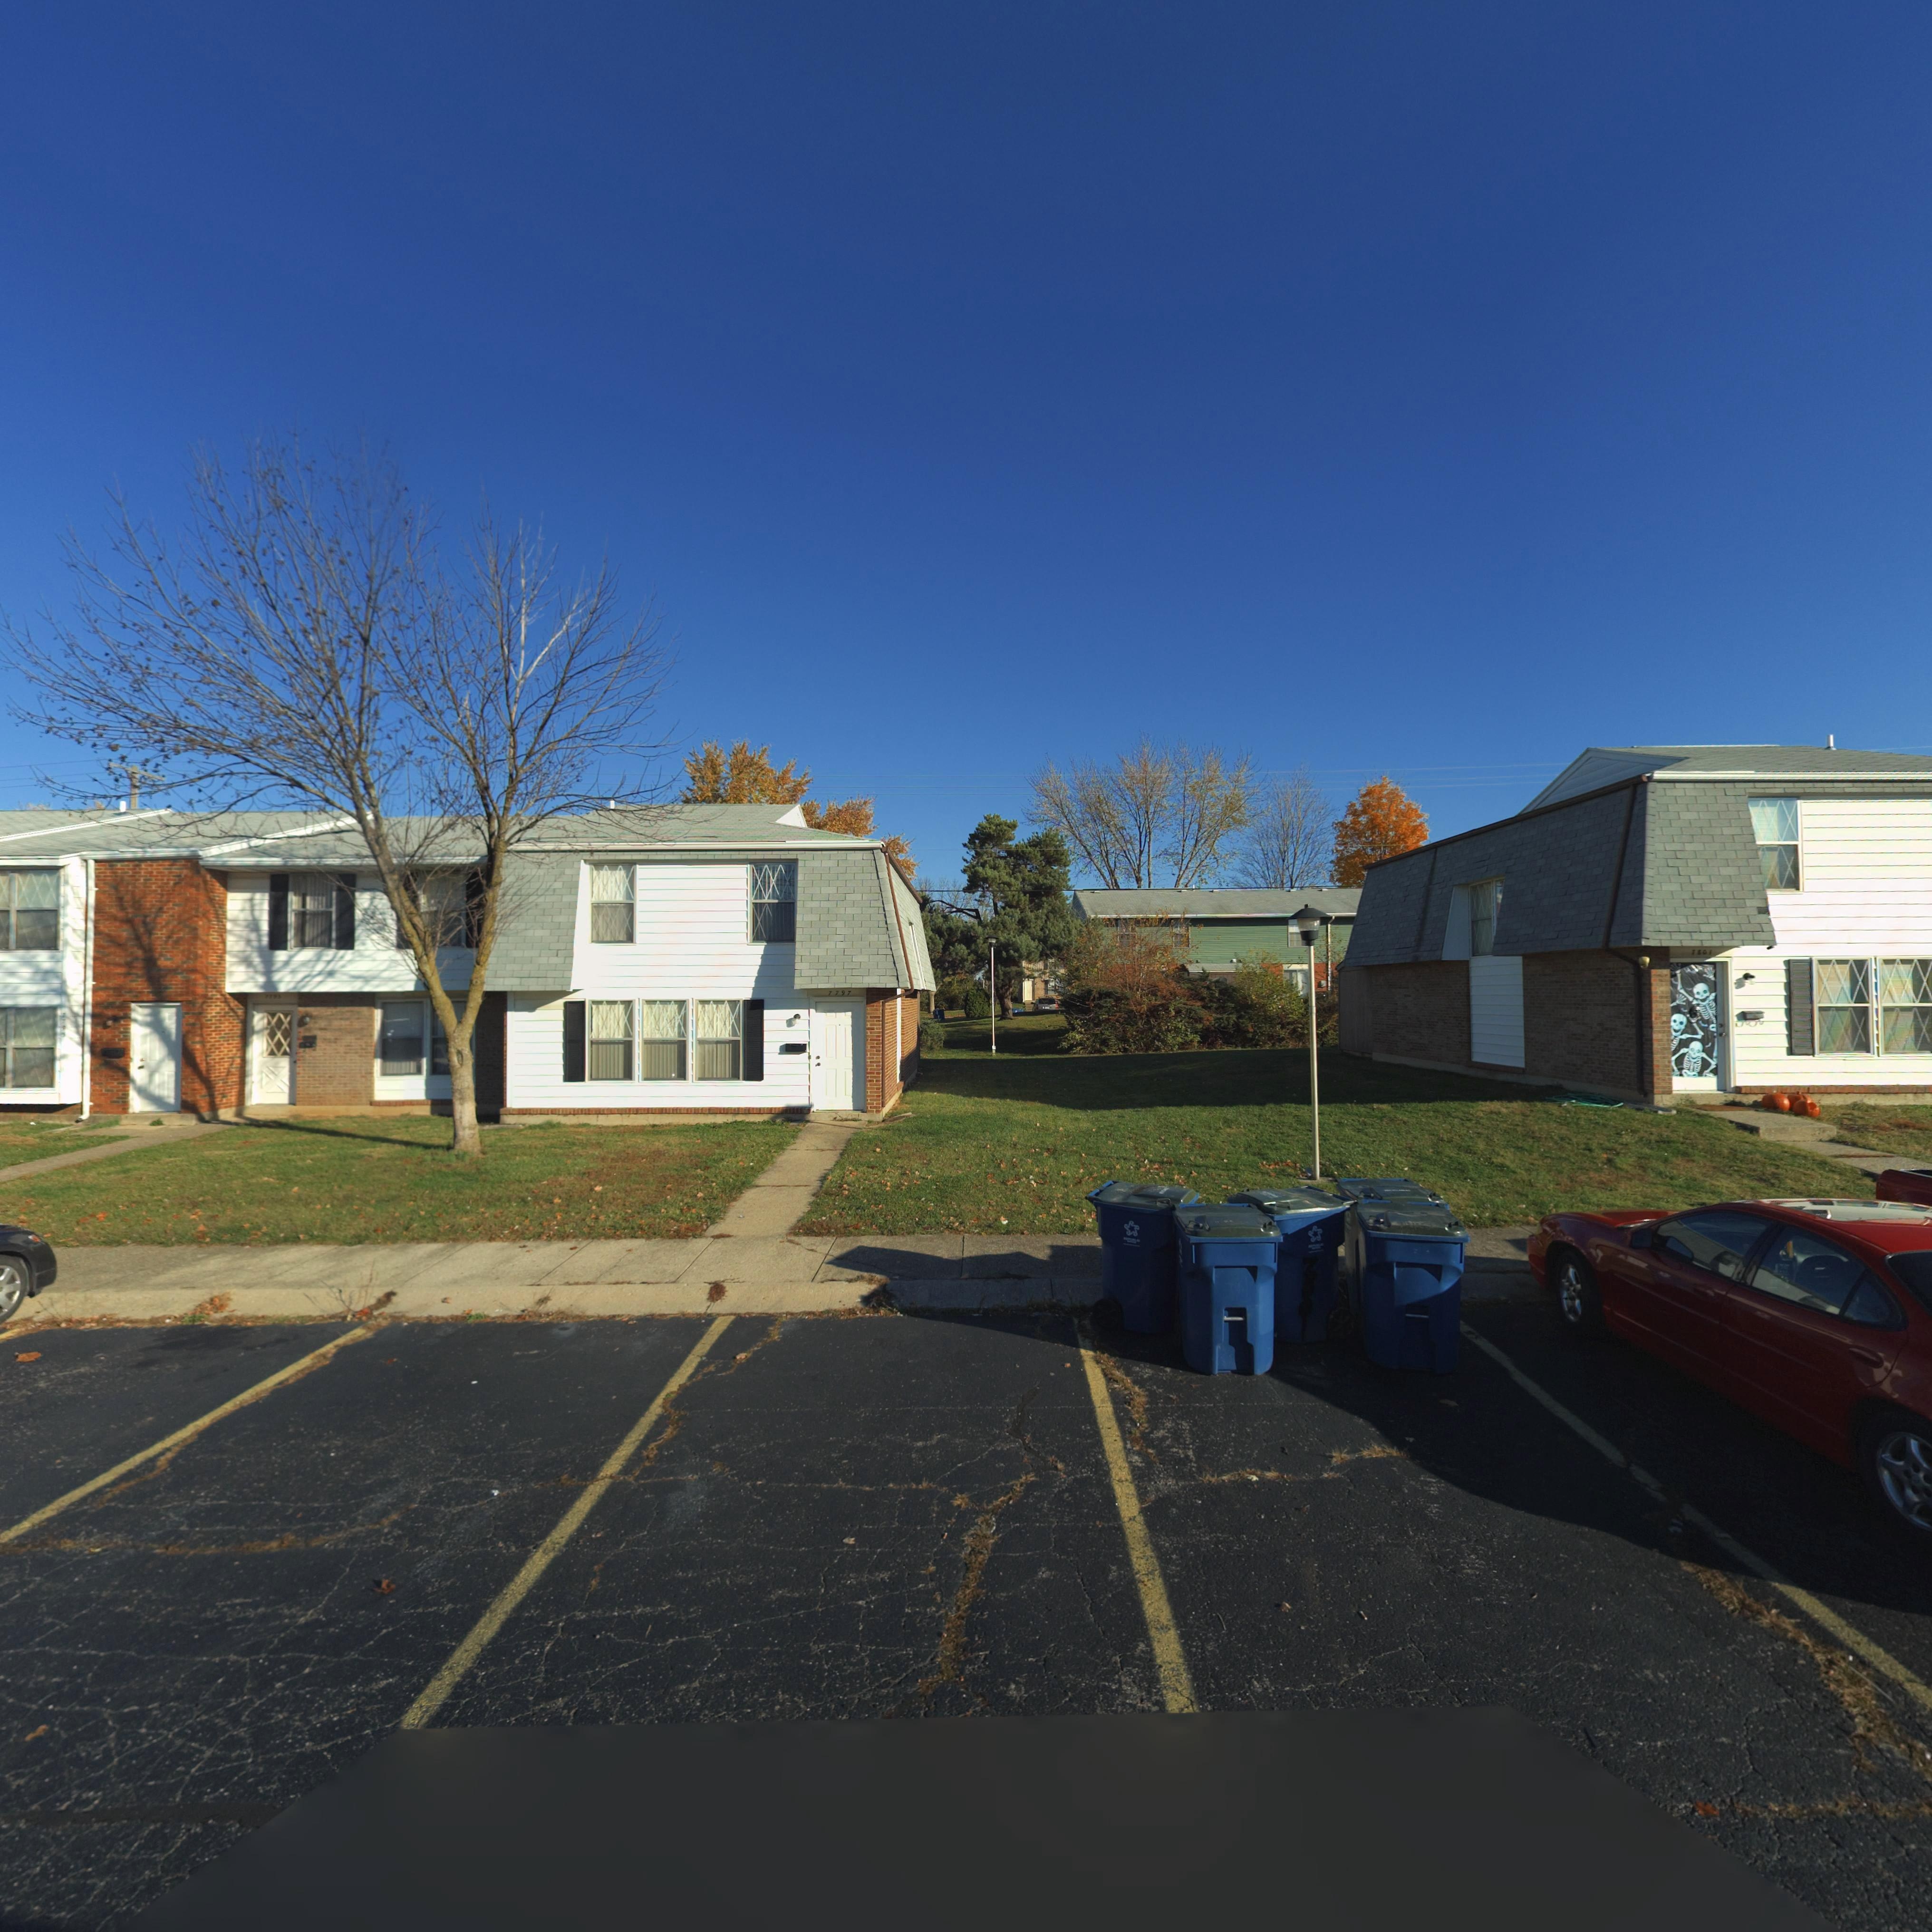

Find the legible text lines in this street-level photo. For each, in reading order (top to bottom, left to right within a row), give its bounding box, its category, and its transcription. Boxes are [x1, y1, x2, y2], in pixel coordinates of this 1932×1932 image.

[1690, 948, 1713, 956] StreetNumber: 7801
[263, 994, 282, 999] StreetNumber: 7795
[827, 990, 852, 996] StreetNumber: 7797
[59, 1011, 67, 1038] StreetNumber: 7793